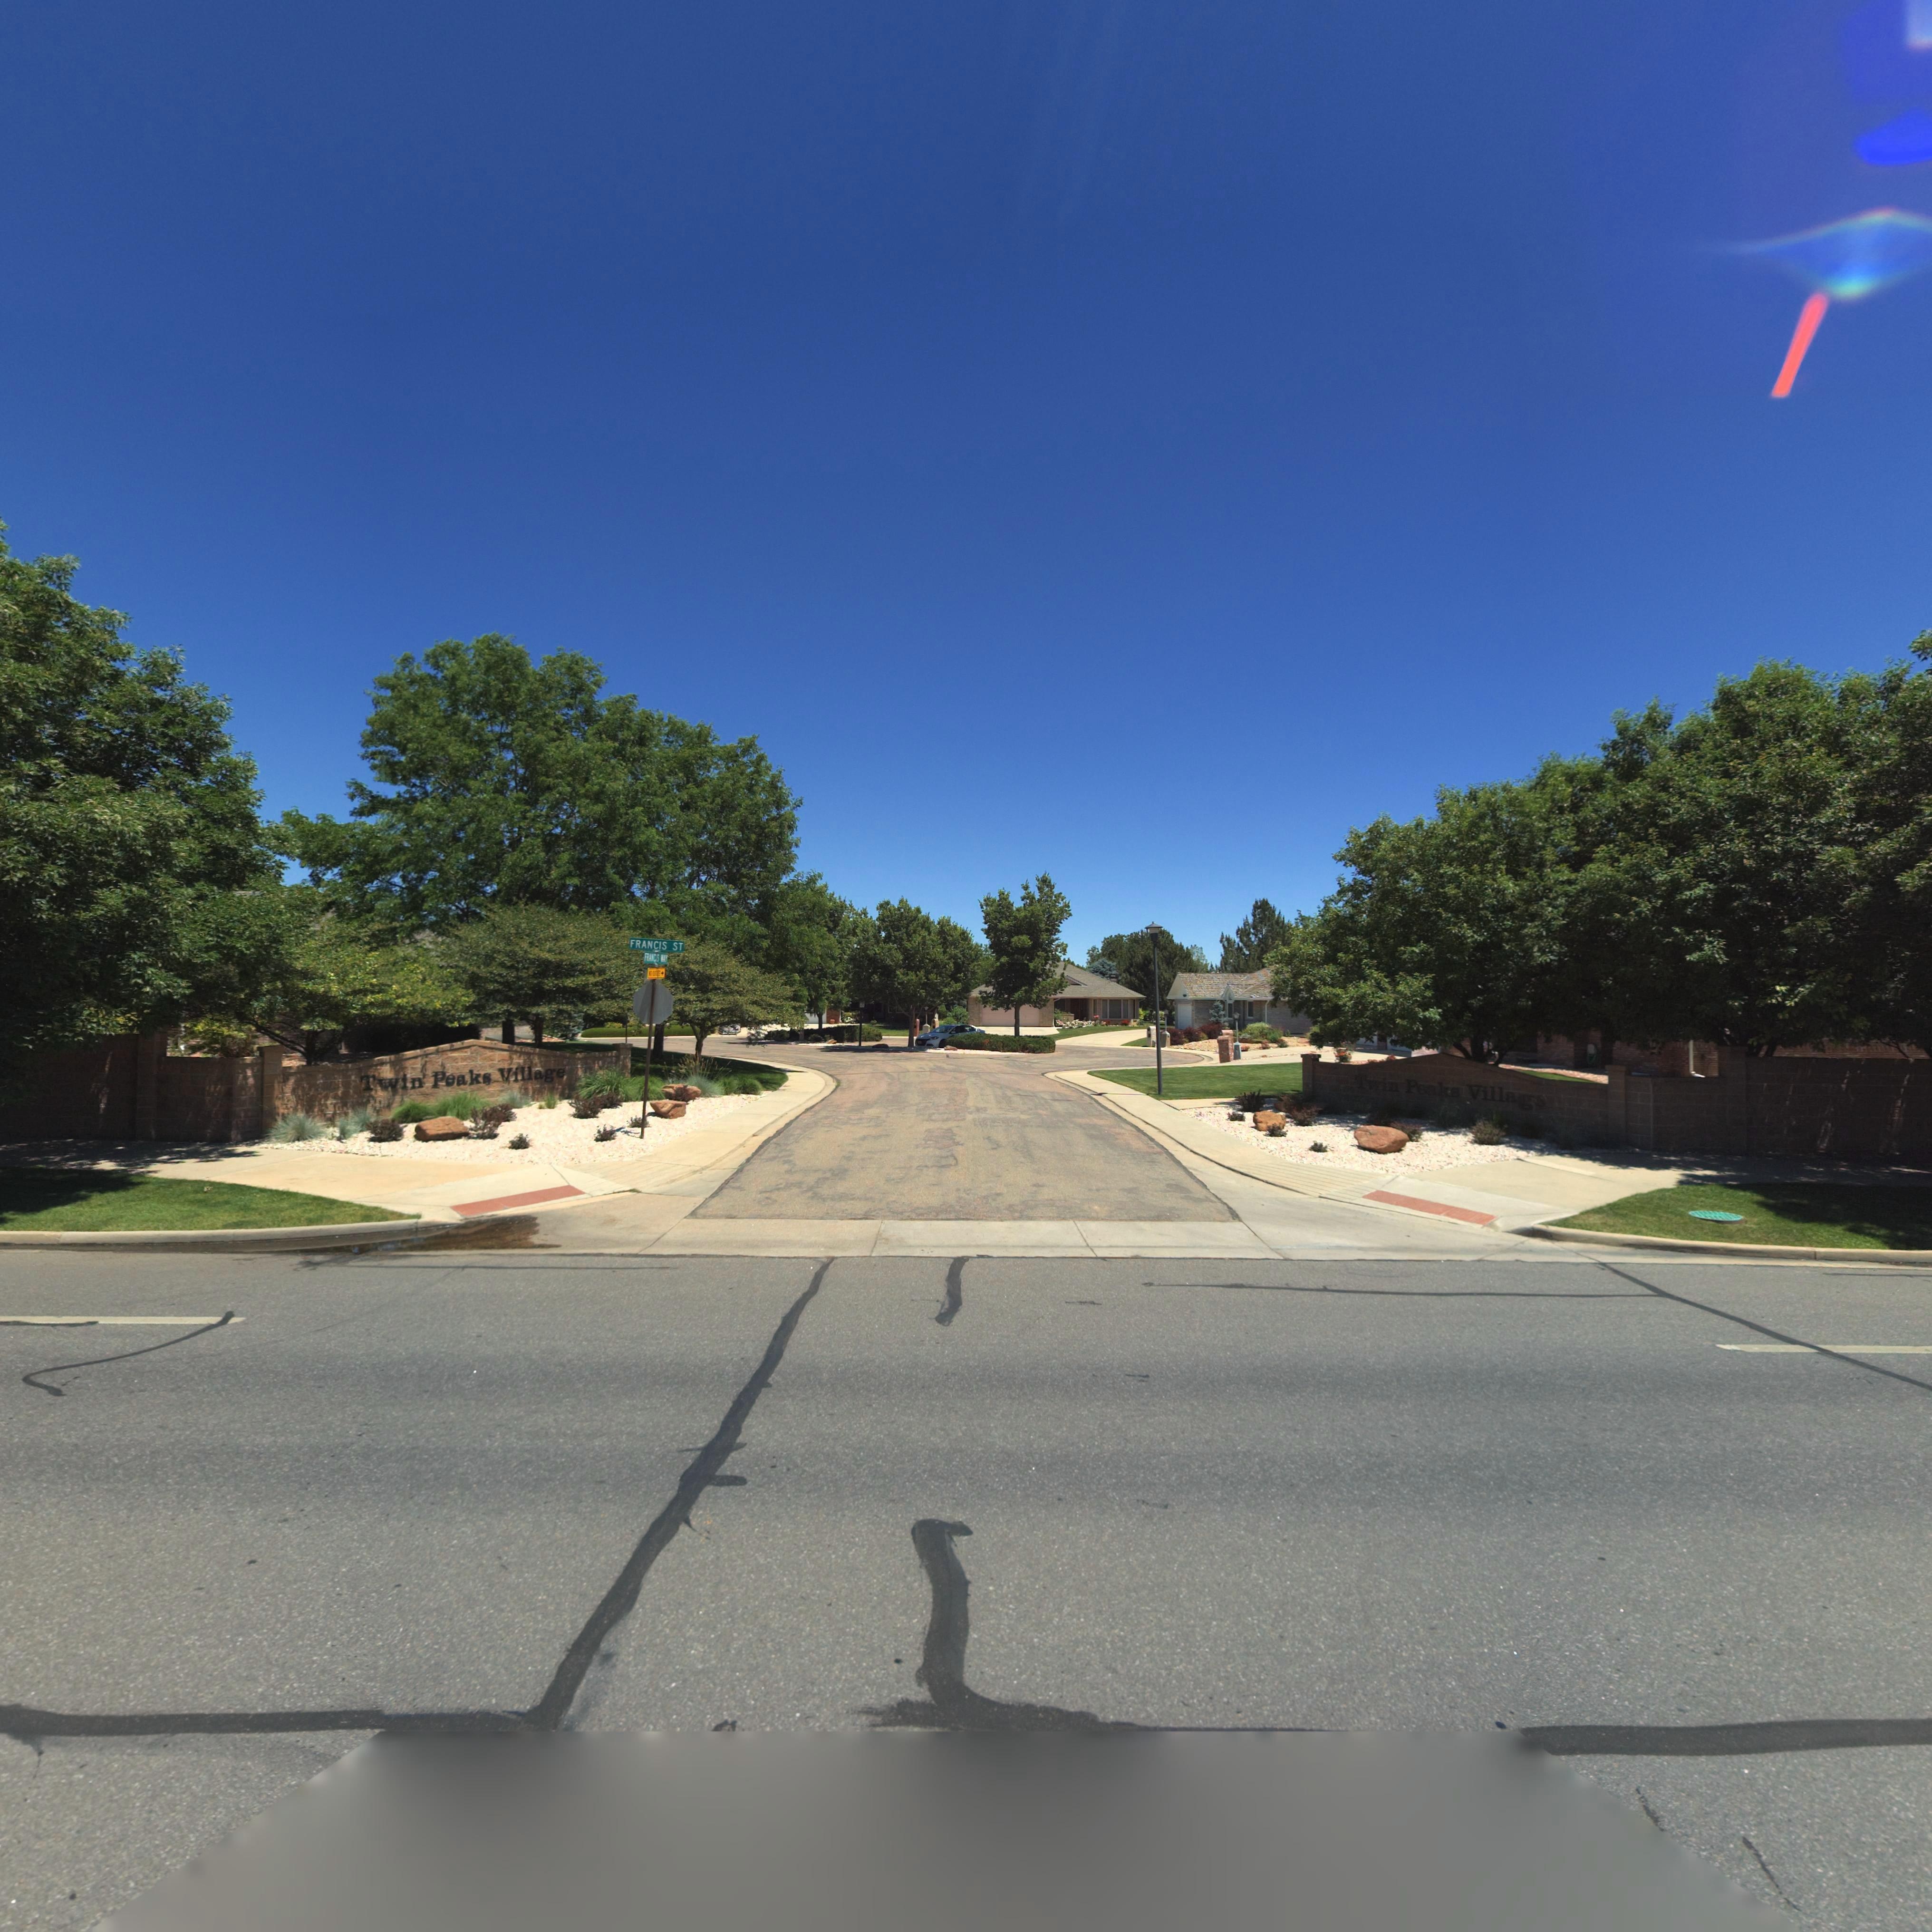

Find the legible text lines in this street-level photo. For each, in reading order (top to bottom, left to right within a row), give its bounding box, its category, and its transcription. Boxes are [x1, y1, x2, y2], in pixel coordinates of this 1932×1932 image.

[630, 939, 684, 951] StreetName: FRANCIS ST
[644, 953, 667, 962] StreetName: FRANCIS WAY